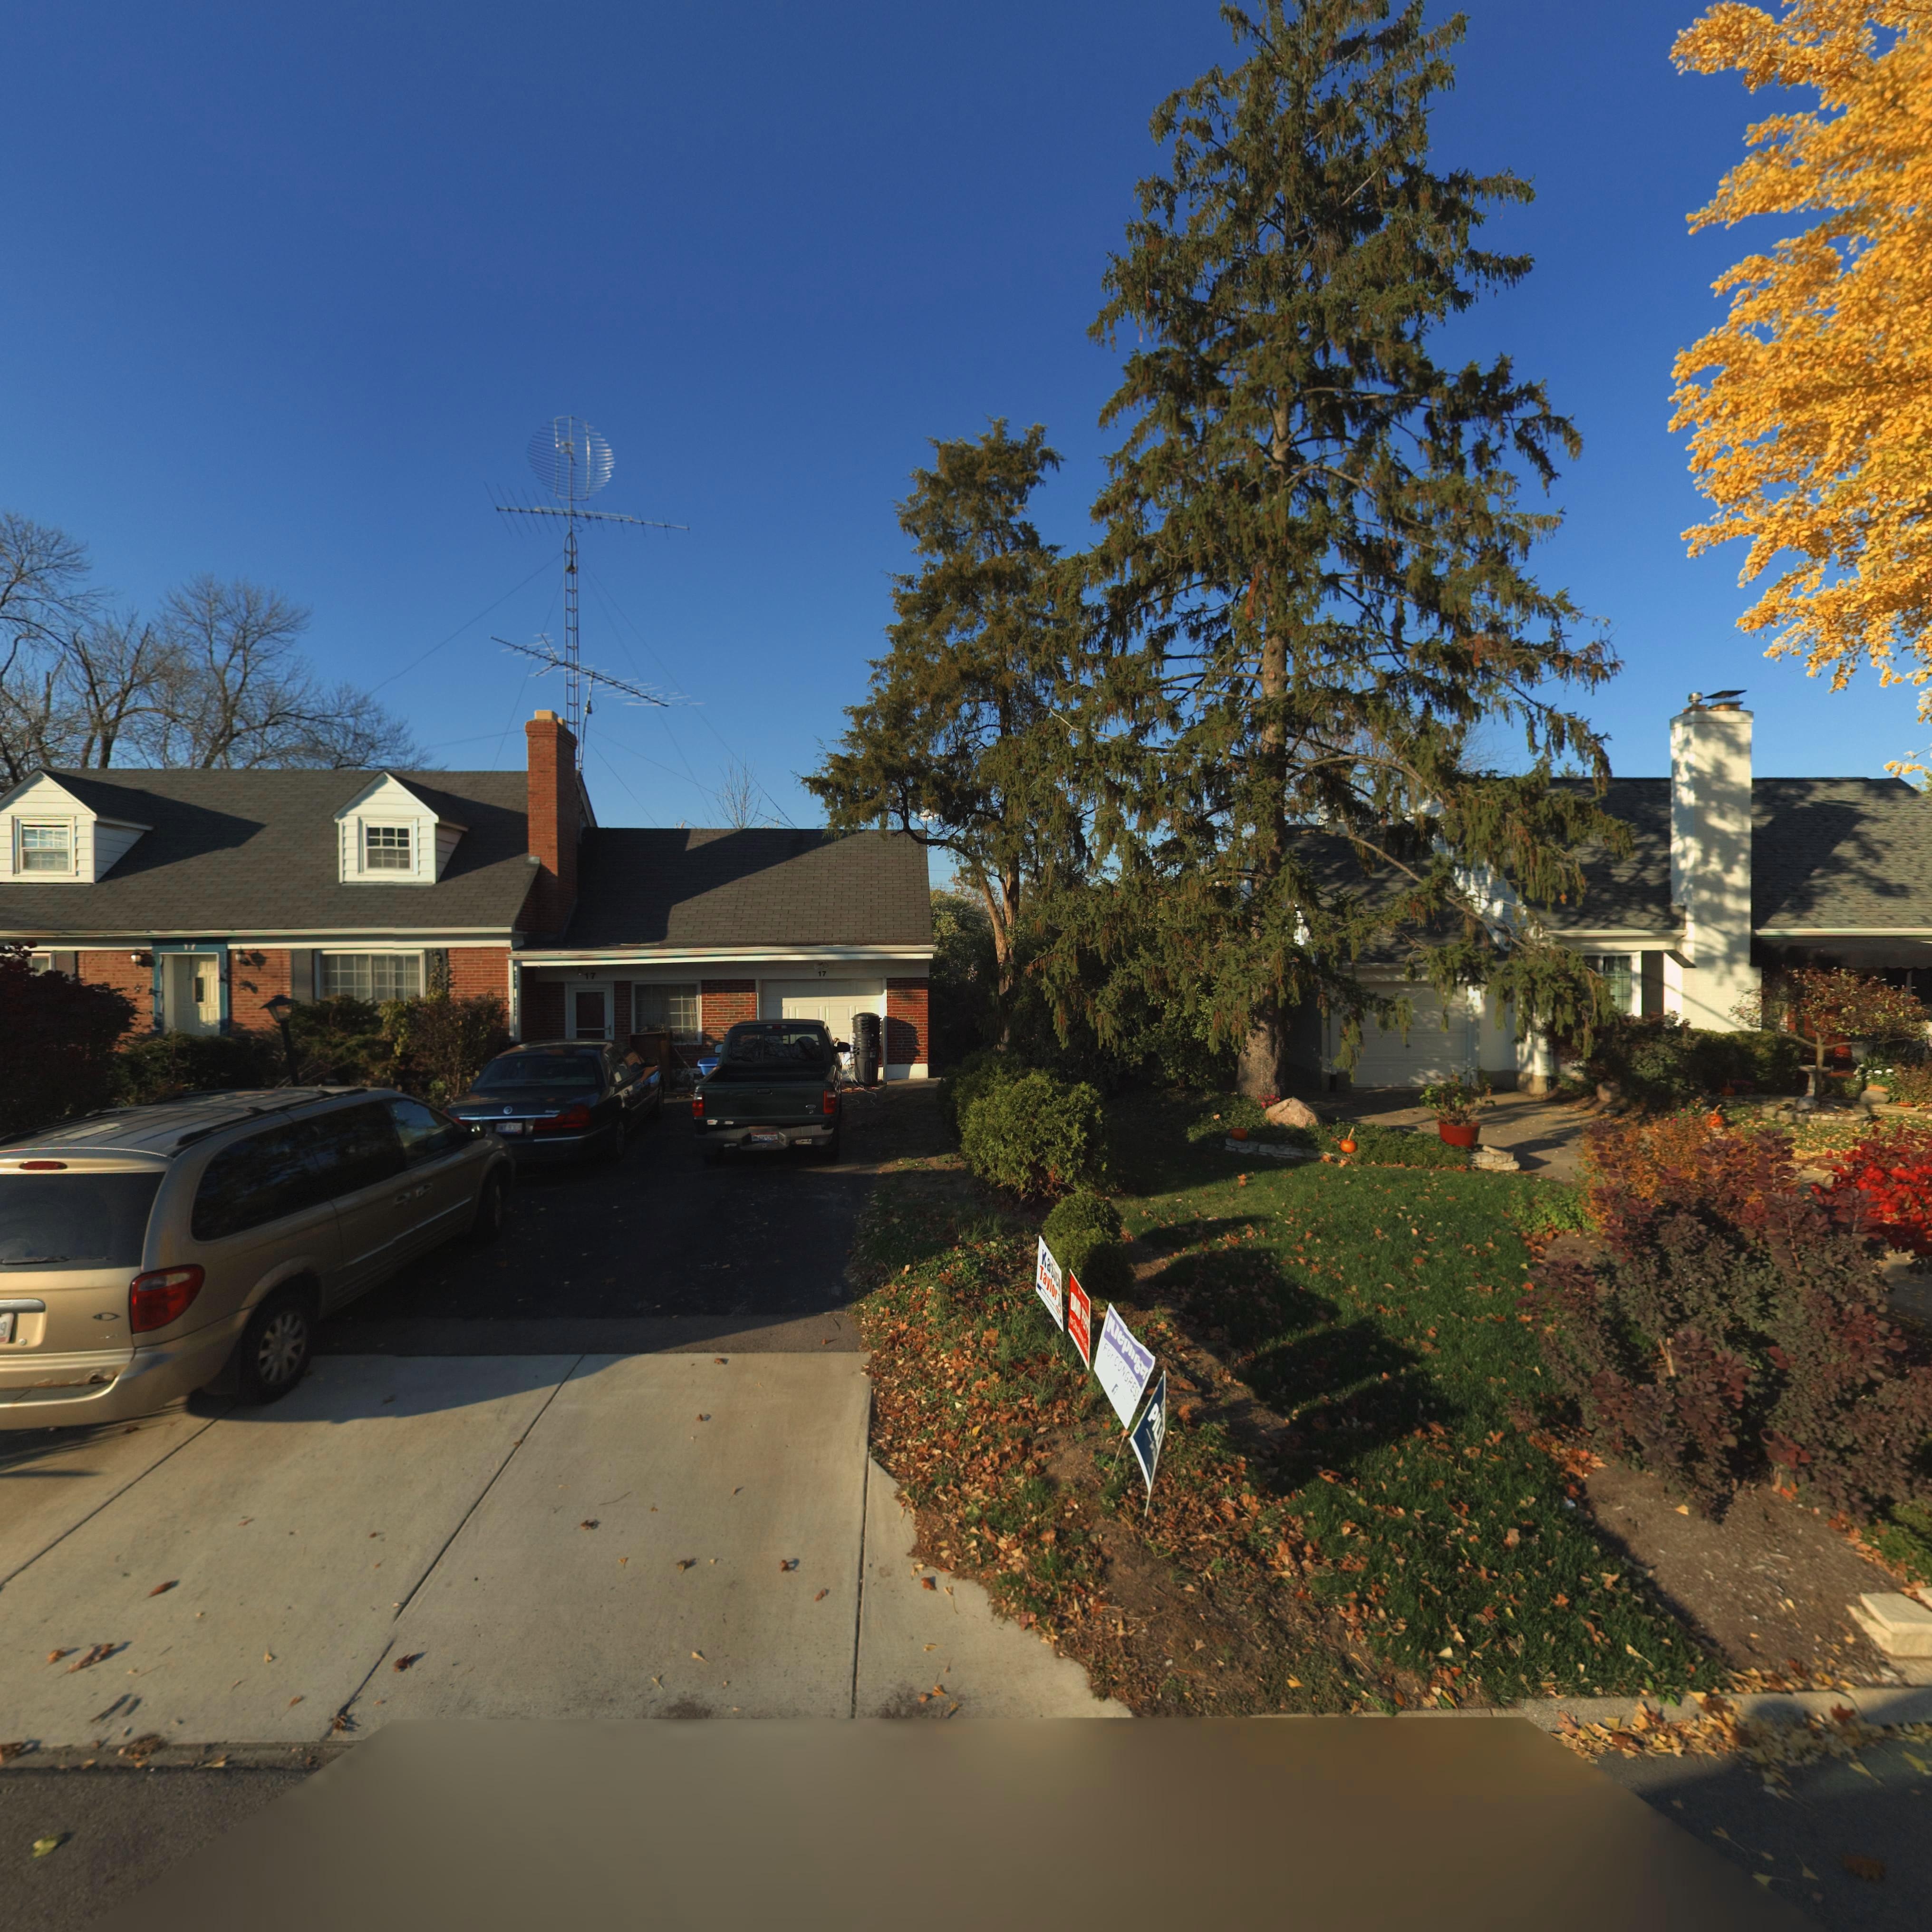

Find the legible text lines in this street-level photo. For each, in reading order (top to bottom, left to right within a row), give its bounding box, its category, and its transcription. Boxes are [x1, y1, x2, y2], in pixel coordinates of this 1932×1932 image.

[183, 942, 196, 951] StreetNumber: 17
[584, 971, 596, 980] StreetNumber: 17
[817, 970, 827, 977] StreetNumber: 17